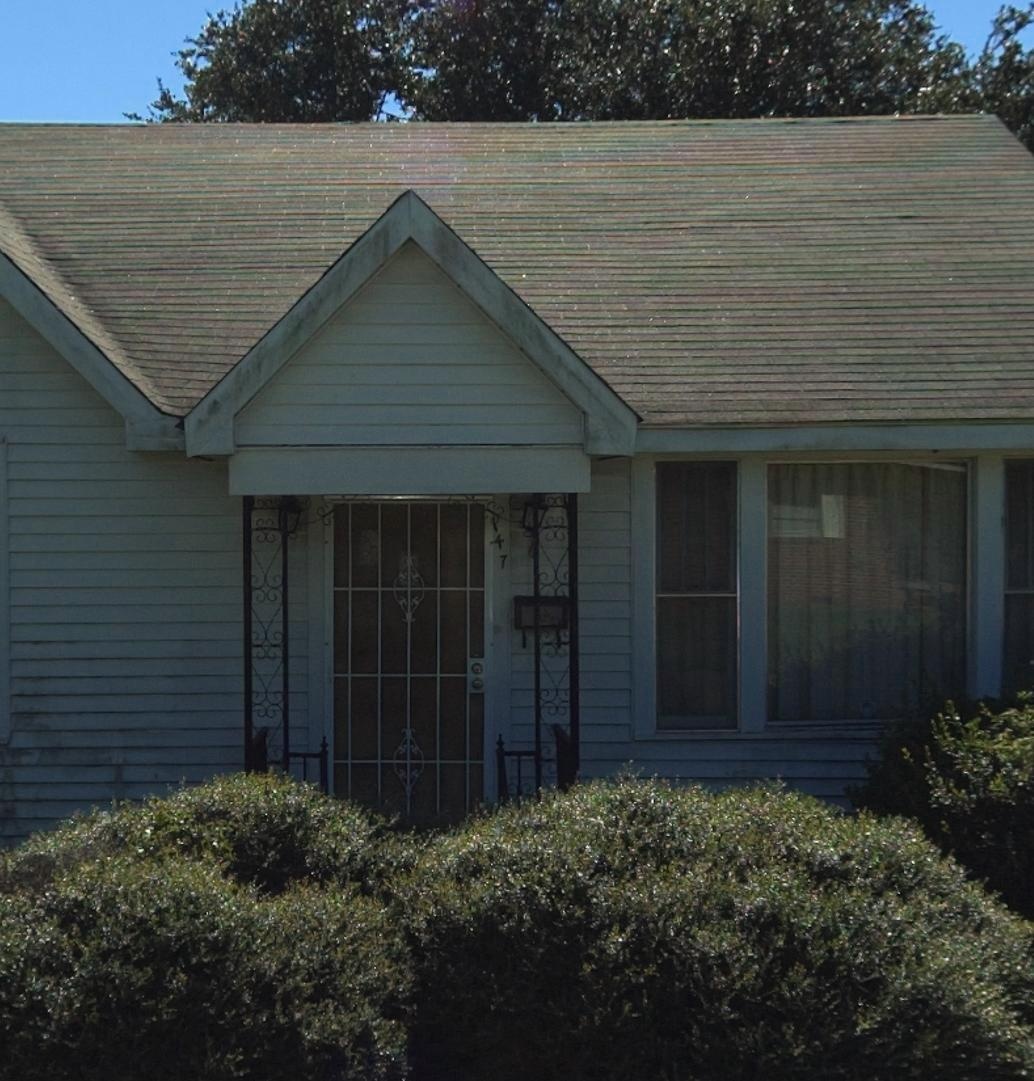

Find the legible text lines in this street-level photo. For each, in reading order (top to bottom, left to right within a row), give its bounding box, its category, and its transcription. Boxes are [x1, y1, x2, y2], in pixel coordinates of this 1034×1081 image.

[488, 514, 510, 572] StreetNumber: 147